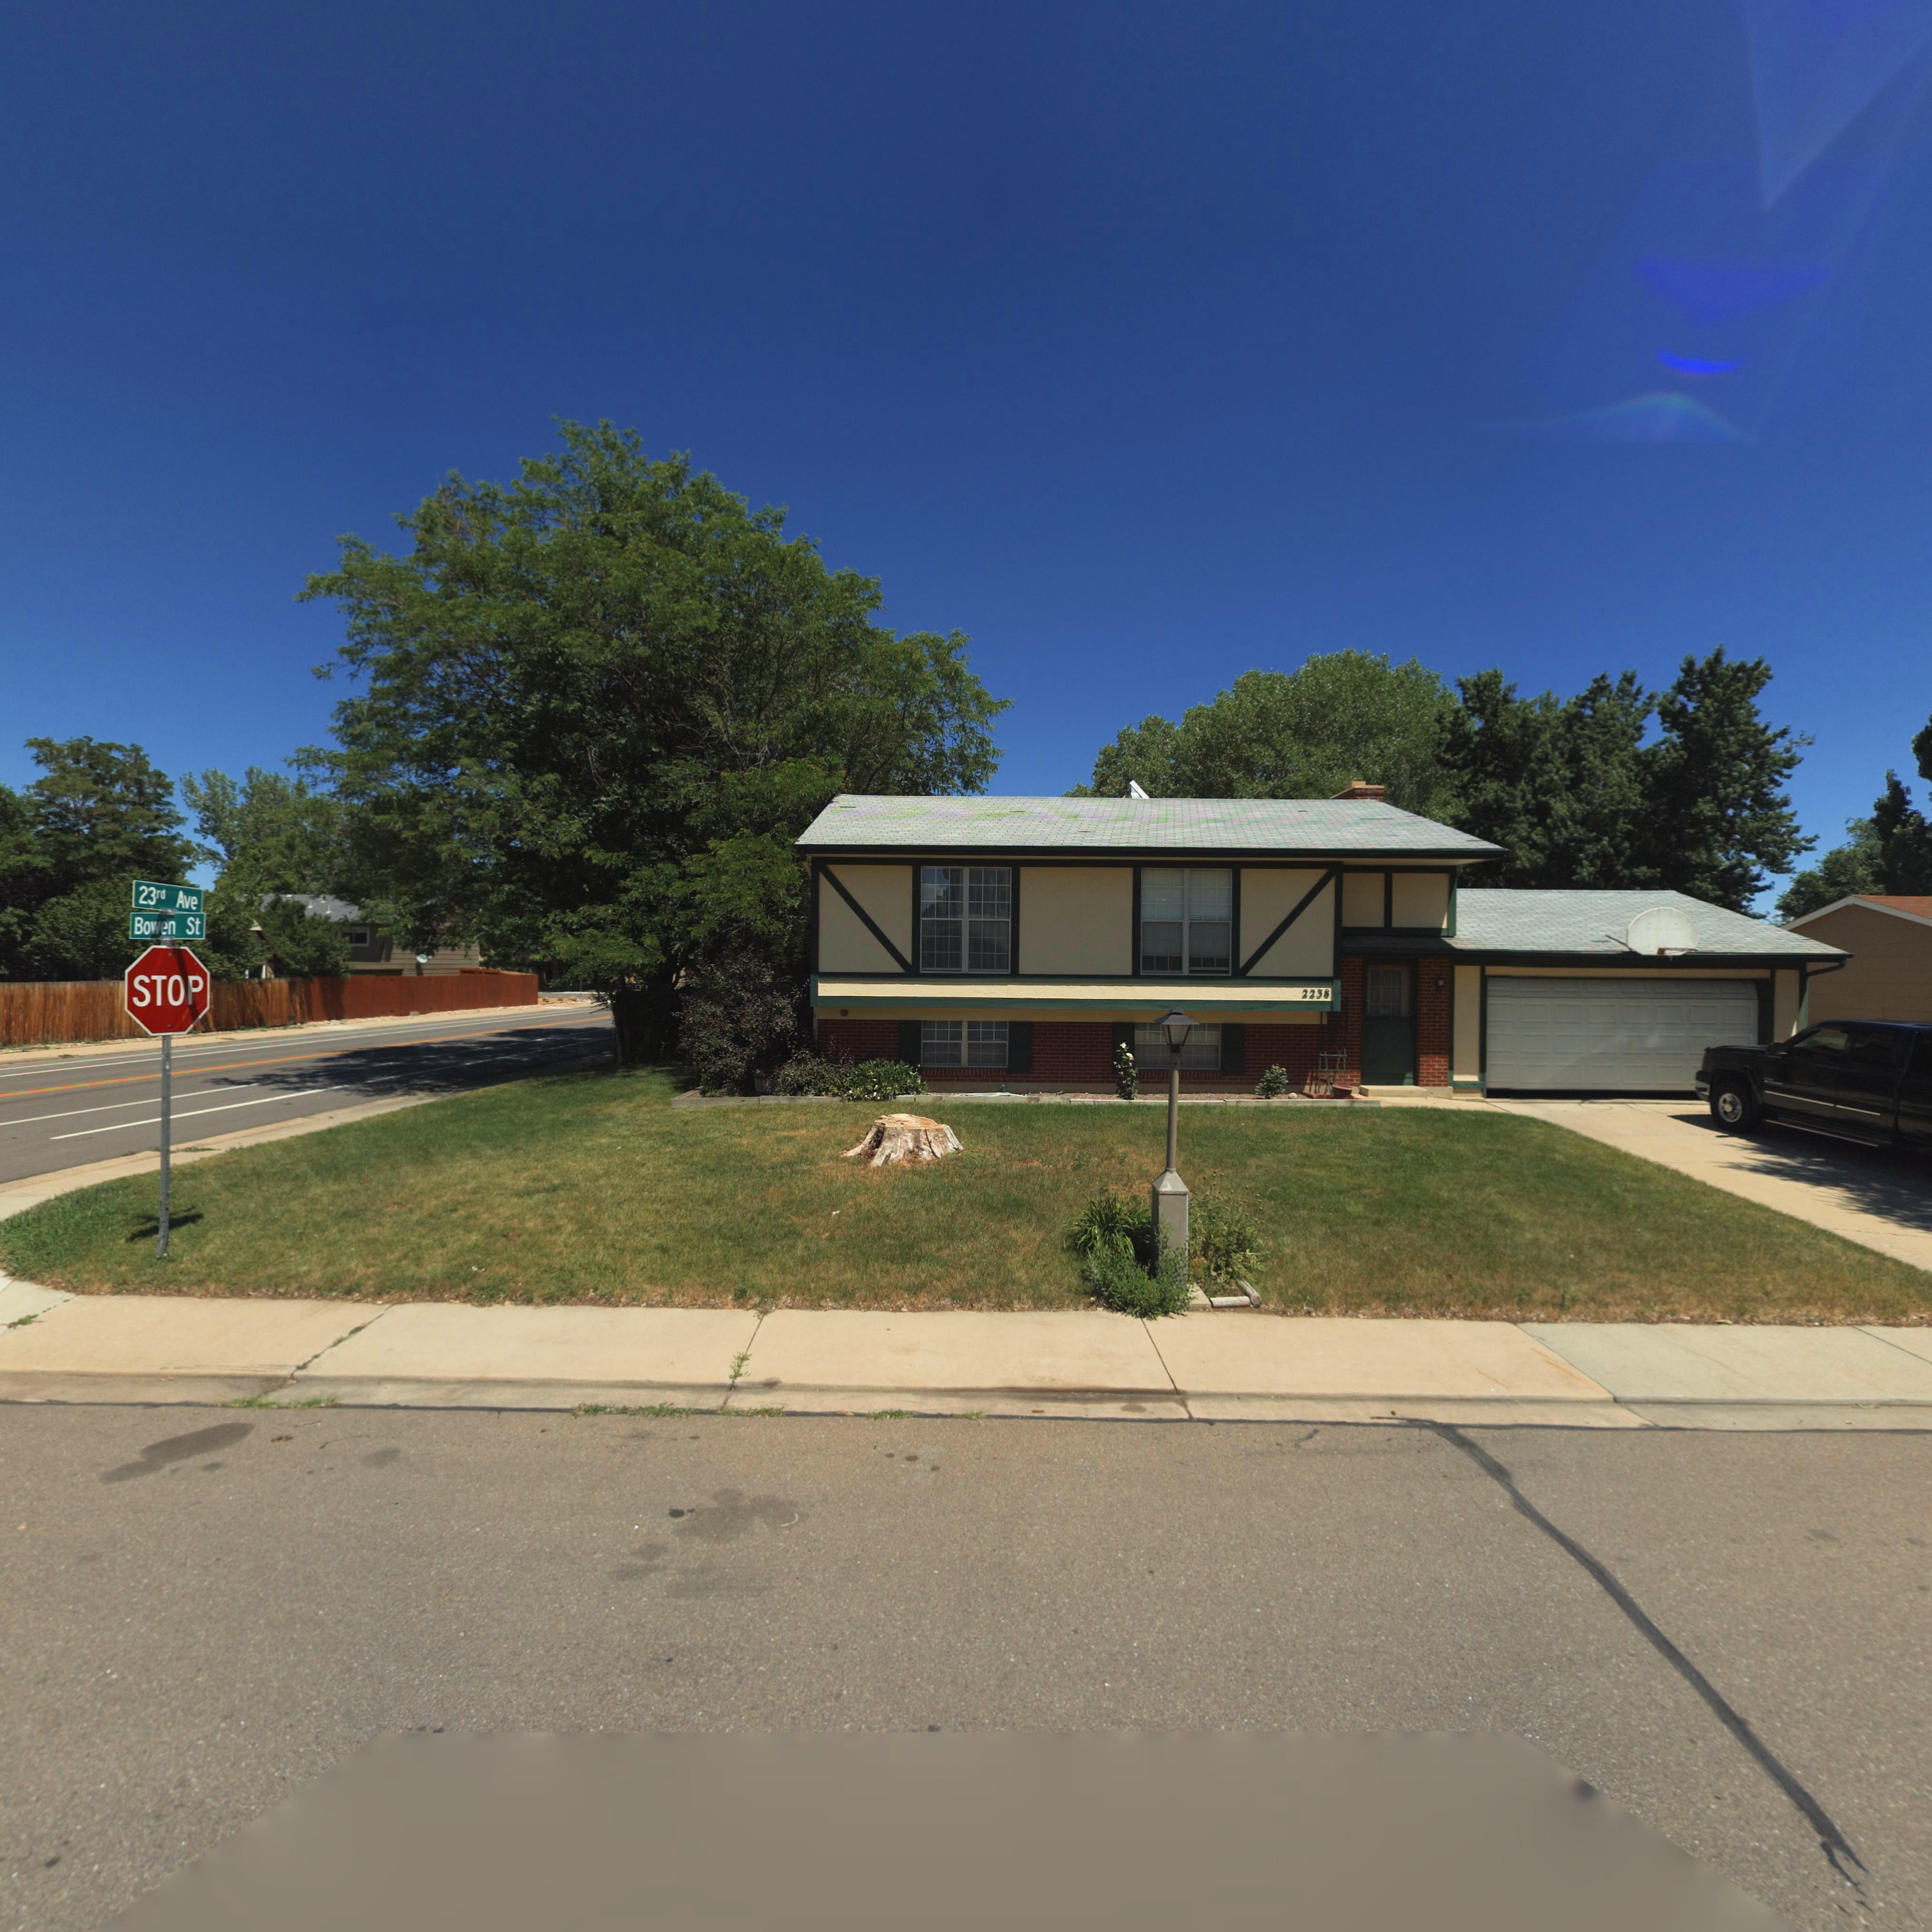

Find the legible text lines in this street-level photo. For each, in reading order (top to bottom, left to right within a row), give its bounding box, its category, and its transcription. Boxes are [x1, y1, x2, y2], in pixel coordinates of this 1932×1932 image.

[138, 885, 198, 910] StreetName: 23rd Ave
[134, 916, 201, 935] StreetName: Bowen St
[1301, 988, 1330, 999] StreetNumber: 2238